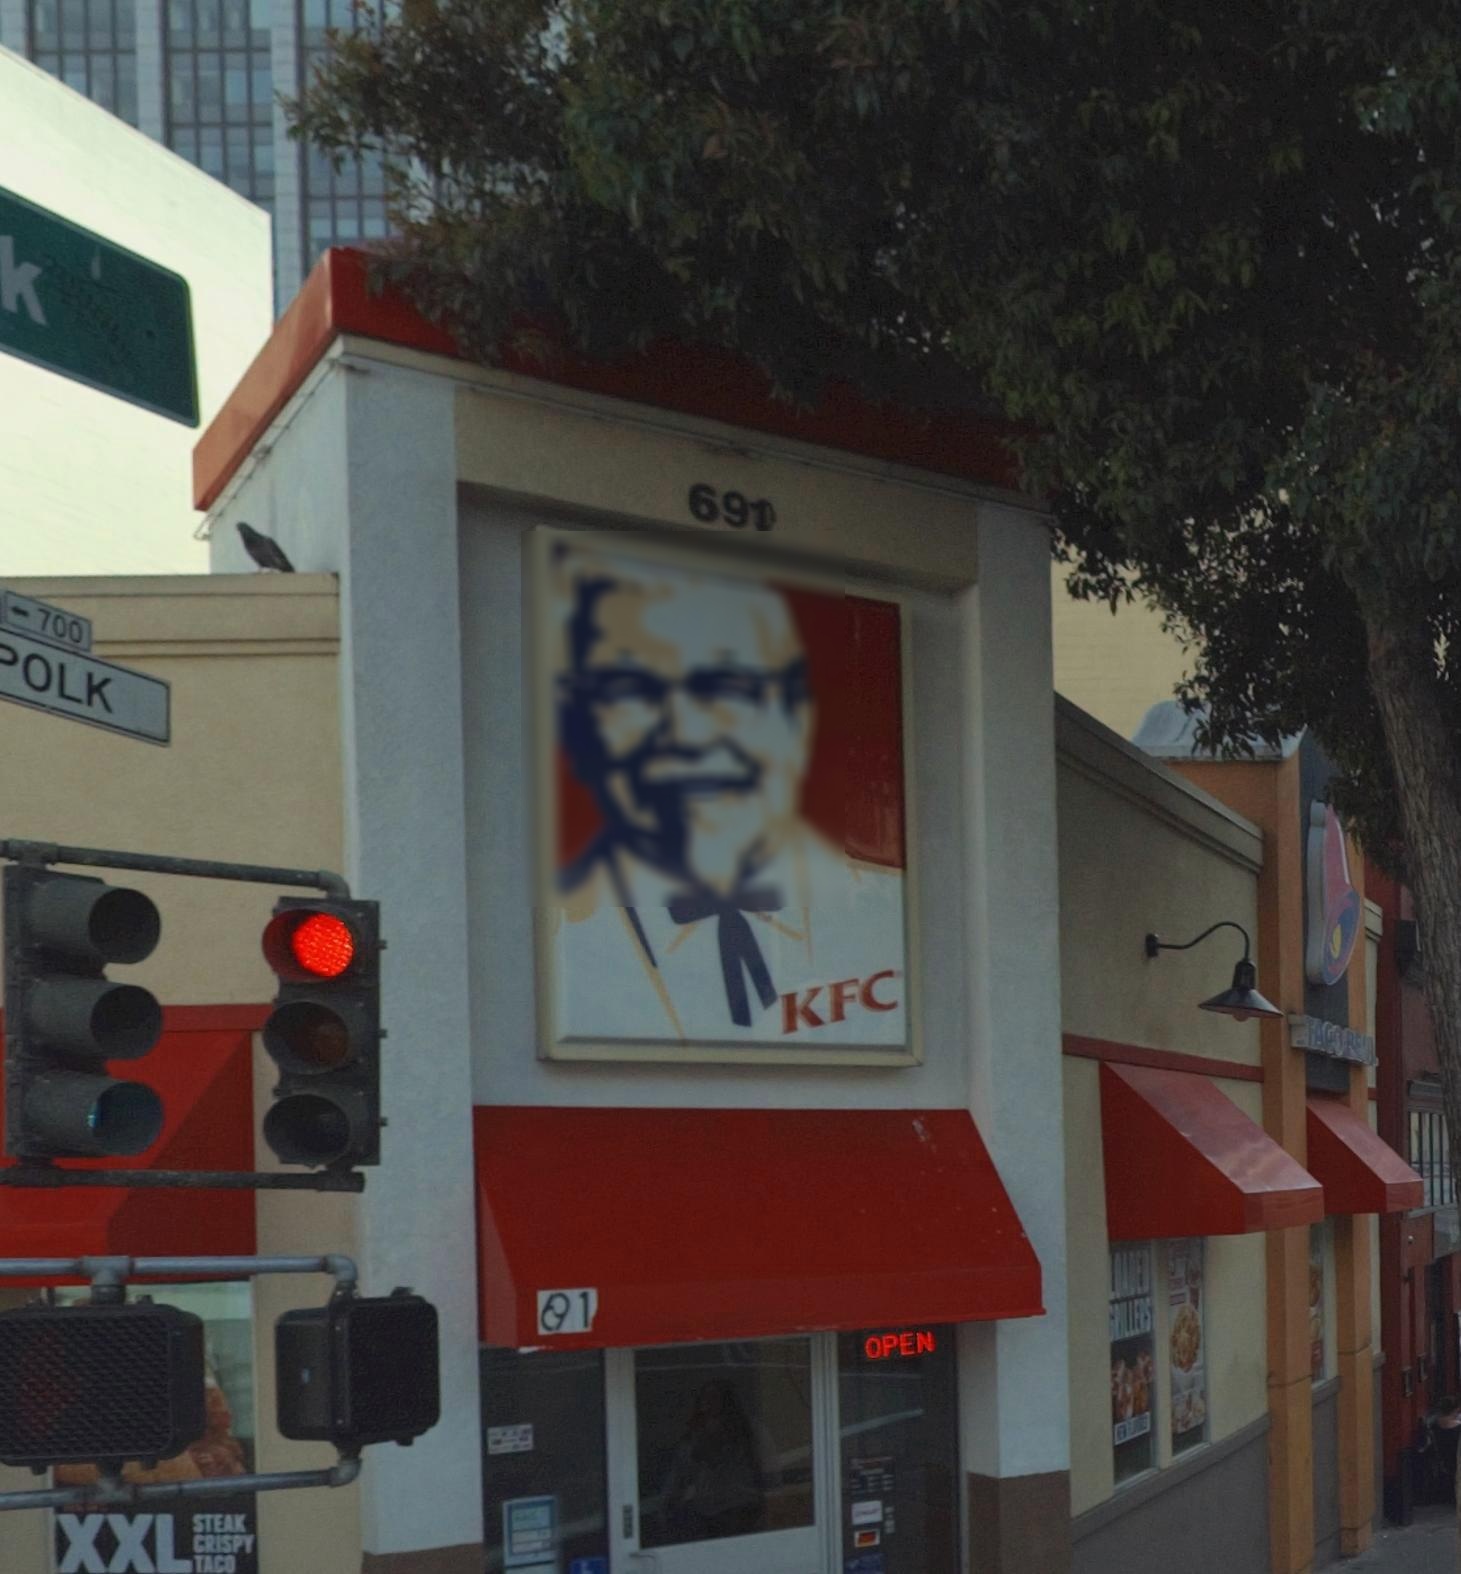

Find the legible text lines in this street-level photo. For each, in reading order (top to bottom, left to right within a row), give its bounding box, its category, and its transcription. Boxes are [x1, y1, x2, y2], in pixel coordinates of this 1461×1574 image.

[0, 230, 52, 330] StreetName: k
[677, 473, 784, 543] StreetNumber: 69*
[6, 594, 88, 648] StreetNumberRange: <-700
[18, 648, 117, 716] StreetName: OLK
[773, 959, 906, 1046] BusinessName: KFC
[1312, 1016, 1347, 1058] BusinessName: ACO
[1133, 1245, 1154, 1297] None: ED
[572, 1286, 596, 1334] StreetNumber: 1
[1126, 1295, 1154, 1339] None: LE*S
[860, 1328, 939, 1362] None: OPEN
[56, 1511, 194, 1574] None: XXL
[191, 1553, 238, 1574] None: TACO
[190, 1511, 249, 1535] None: STEAK
[191, 1531, 258, 1556] None: CRISPY